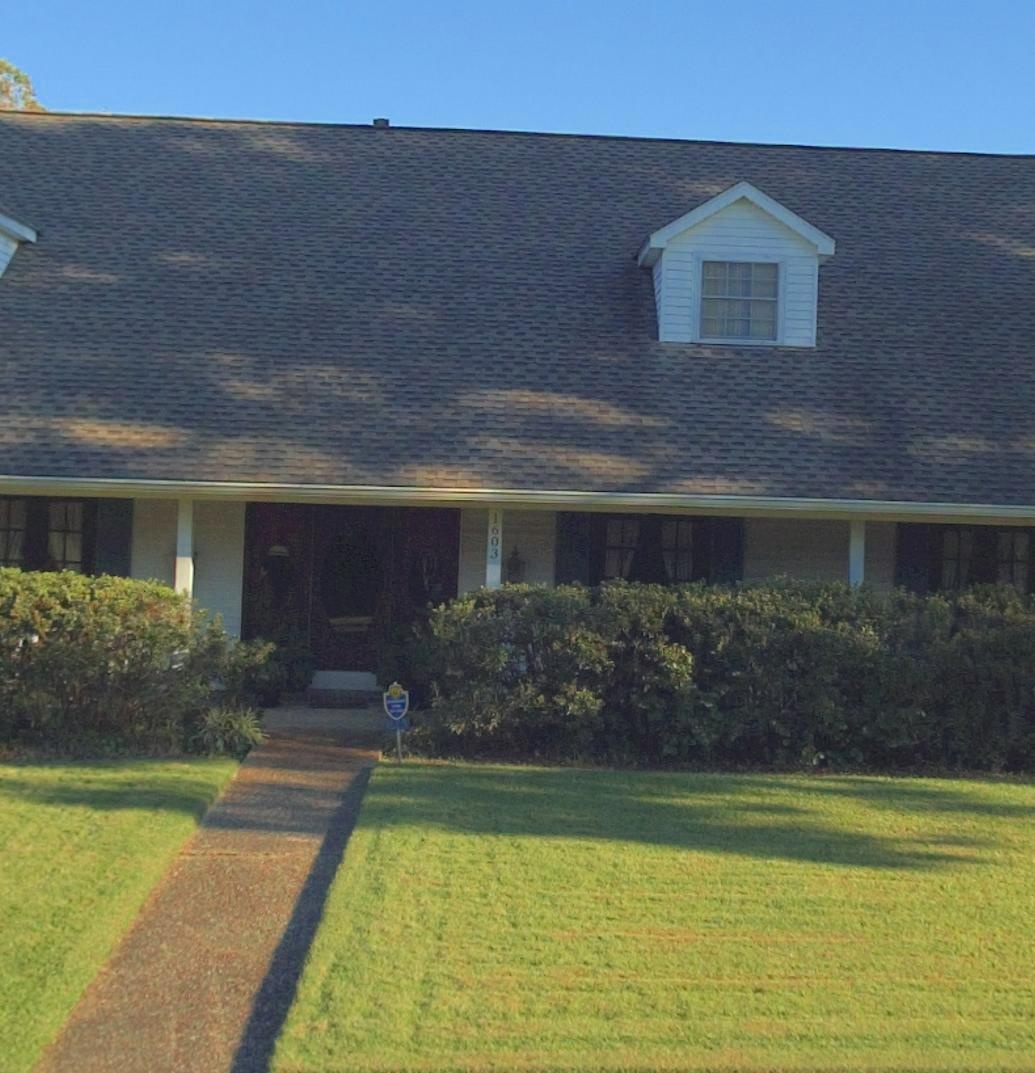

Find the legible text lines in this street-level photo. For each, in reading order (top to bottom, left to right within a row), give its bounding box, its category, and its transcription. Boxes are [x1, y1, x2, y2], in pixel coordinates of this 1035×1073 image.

[489, 511, 500, 560] StreetNumber: 1603